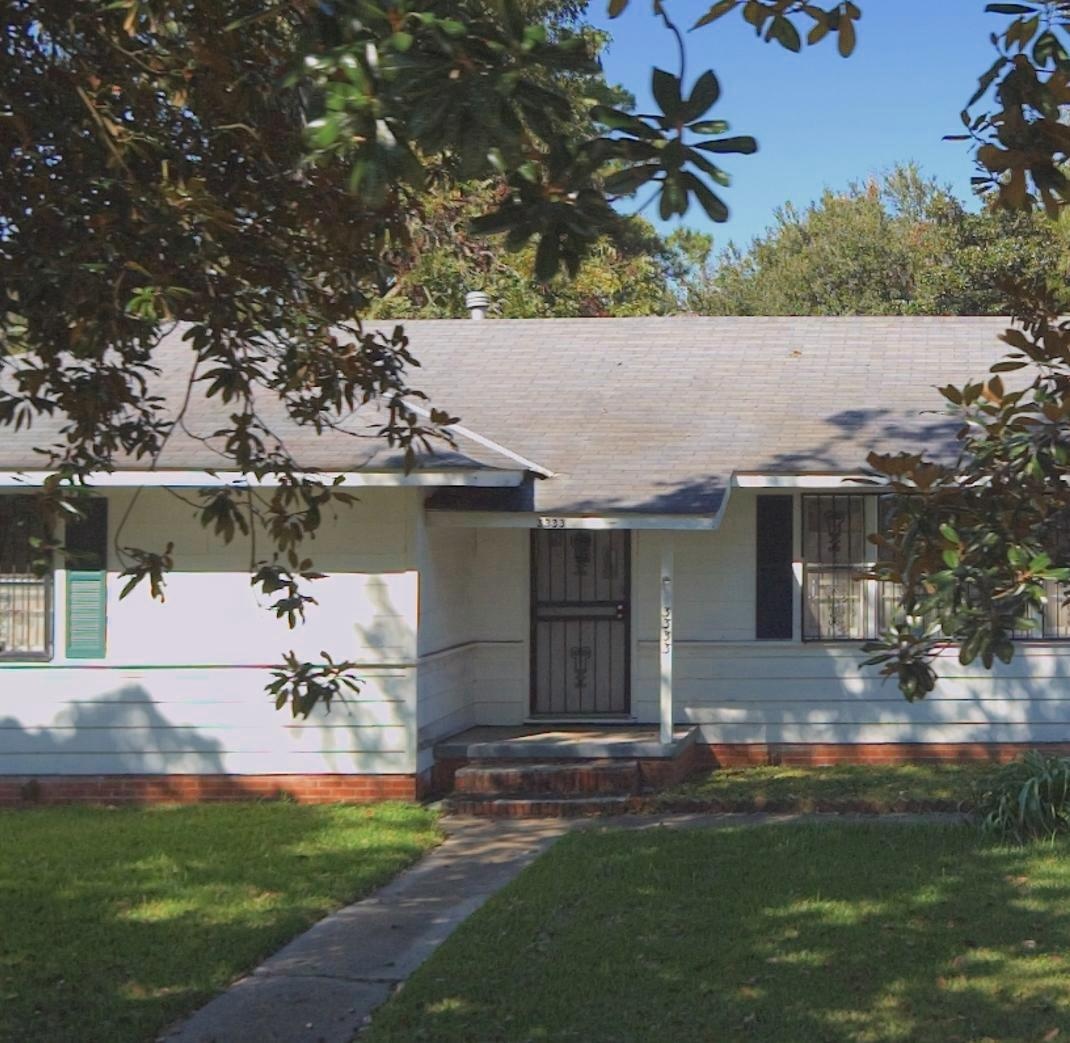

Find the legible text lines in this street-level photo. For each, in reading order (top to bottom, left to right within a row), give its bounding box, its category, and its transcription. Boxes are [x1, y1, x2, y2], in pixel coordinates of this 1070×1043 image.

[536, 518, 566, 529] StreetNumber: 3333
[660, 605, 671, 654] StreetNumber: 3333